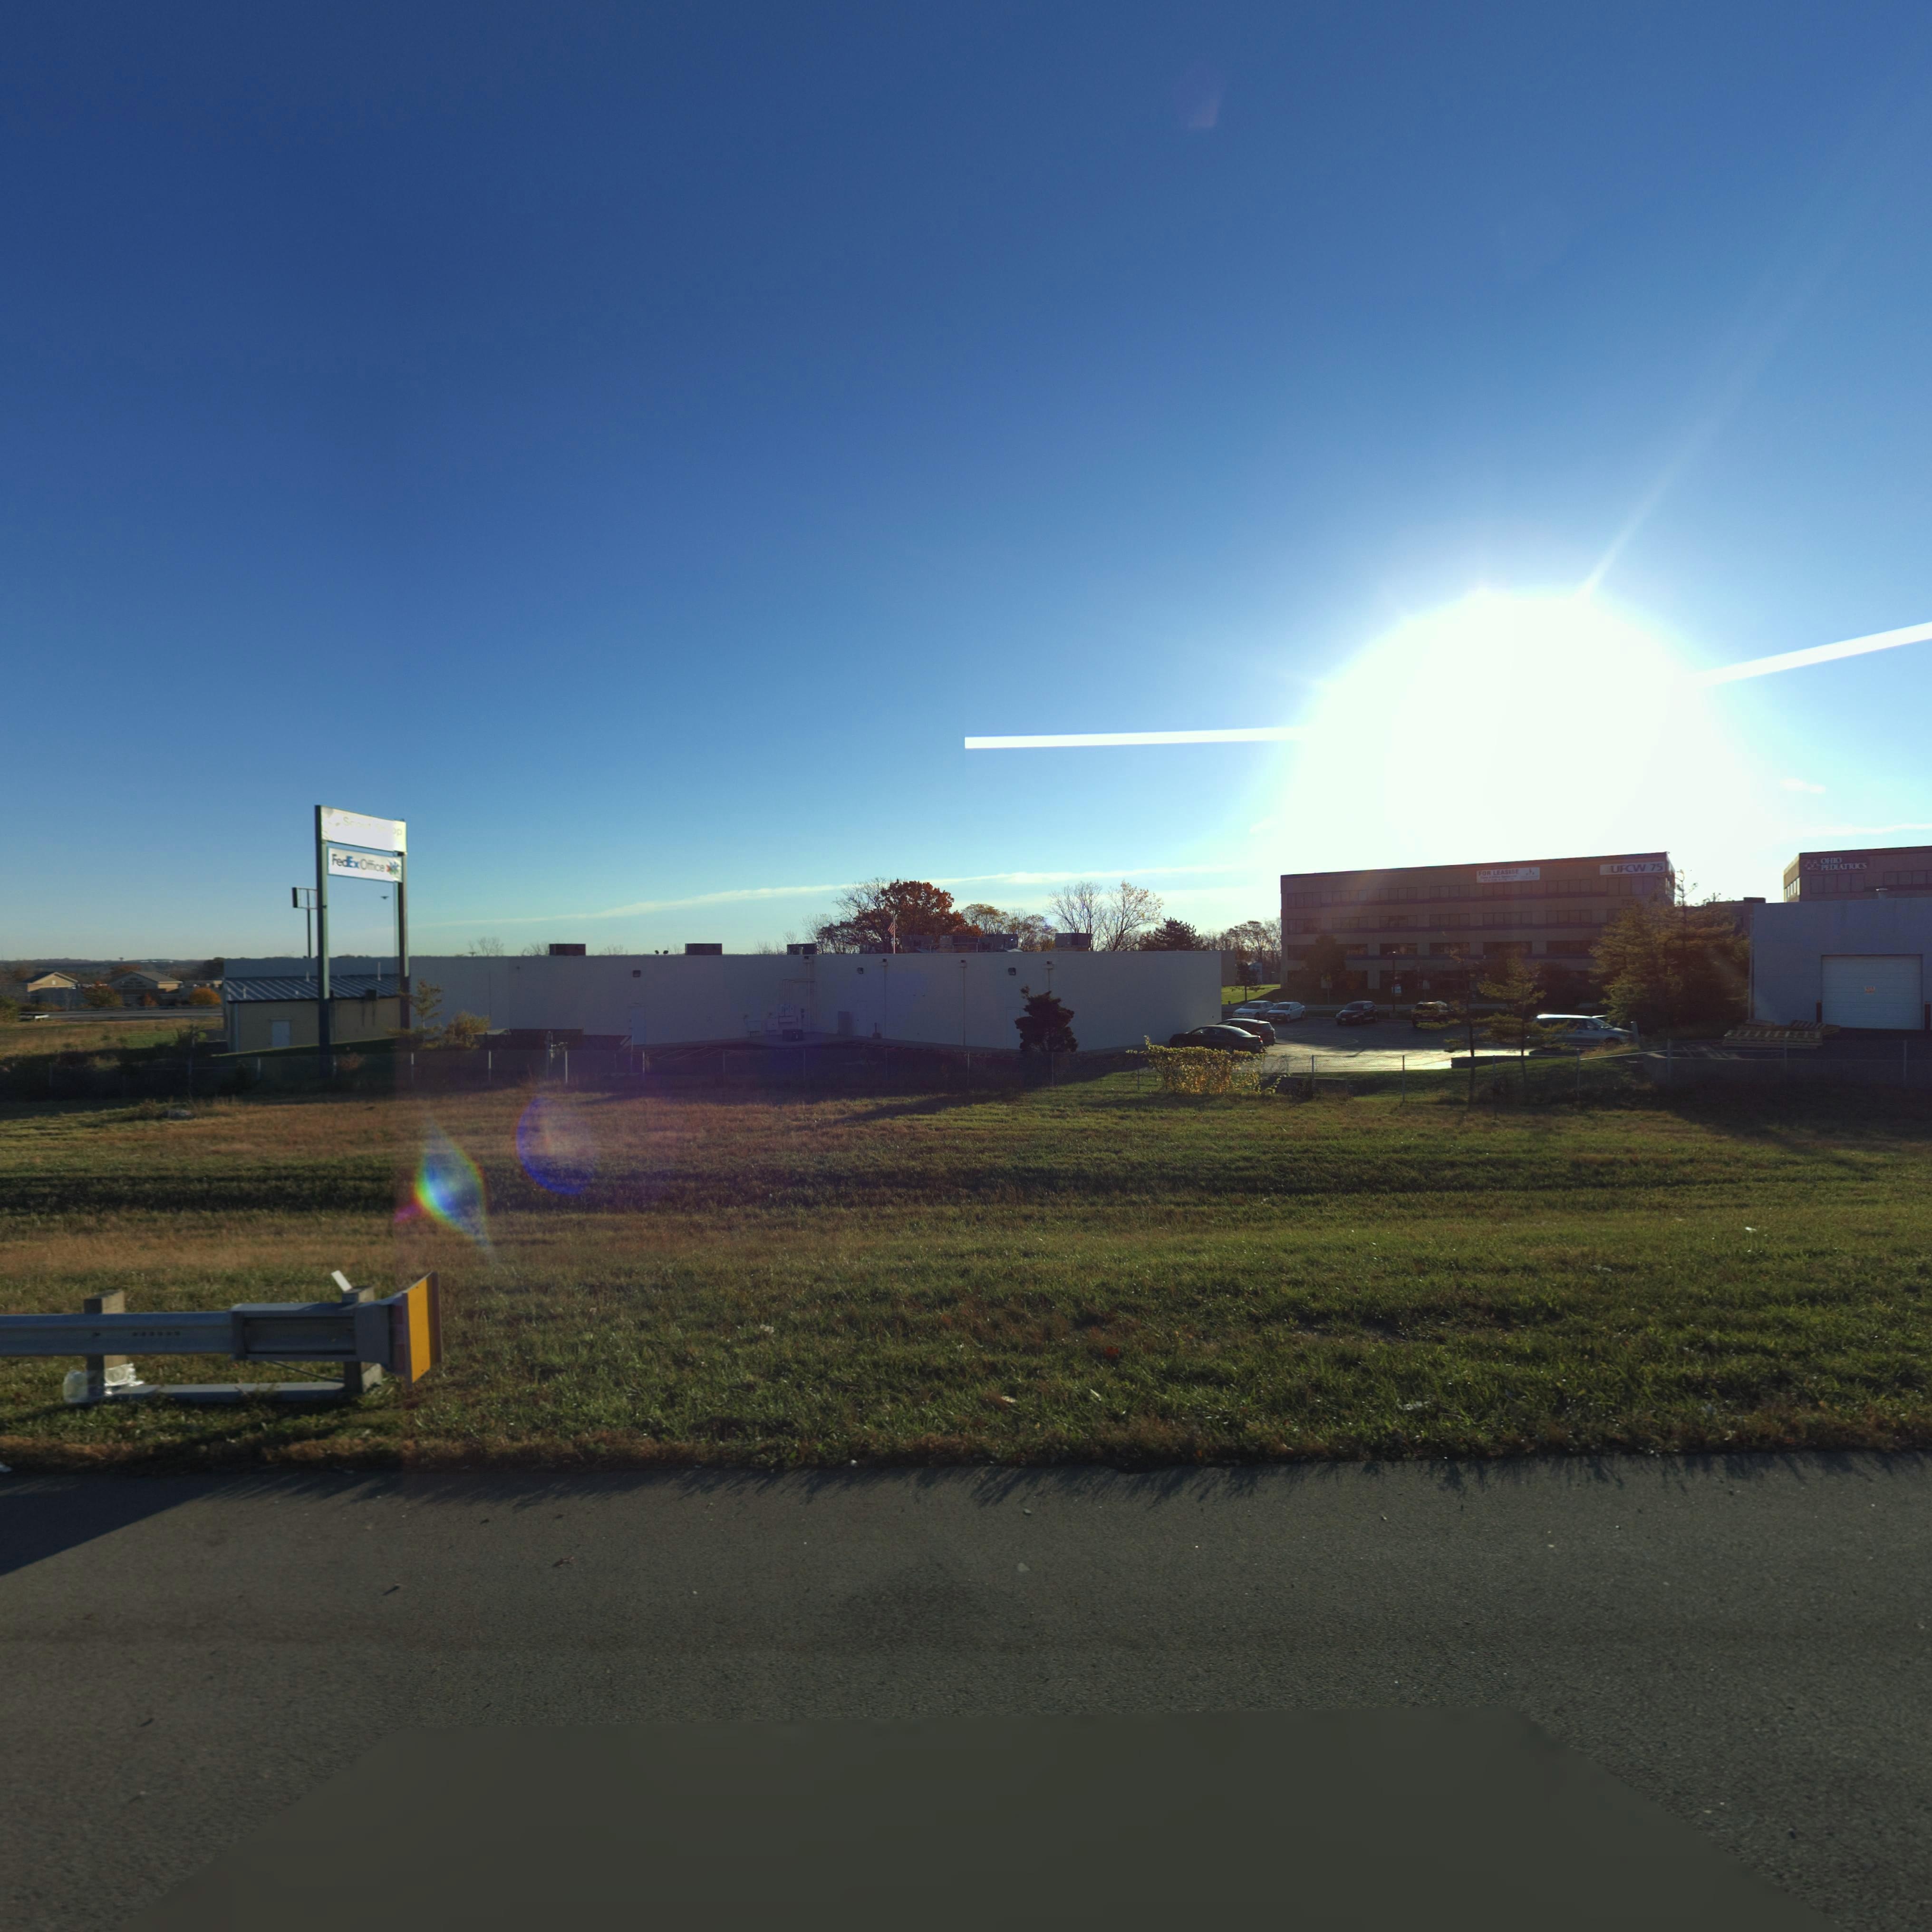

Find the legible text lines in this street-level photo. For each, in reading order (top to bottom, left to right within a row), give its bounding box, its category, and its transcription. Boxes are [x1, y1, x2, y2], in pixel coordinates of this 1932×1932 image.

[329, 851, 387, 875] None: FedExOffice
[1619, 898, 1632, 907] StreetNumber: 72